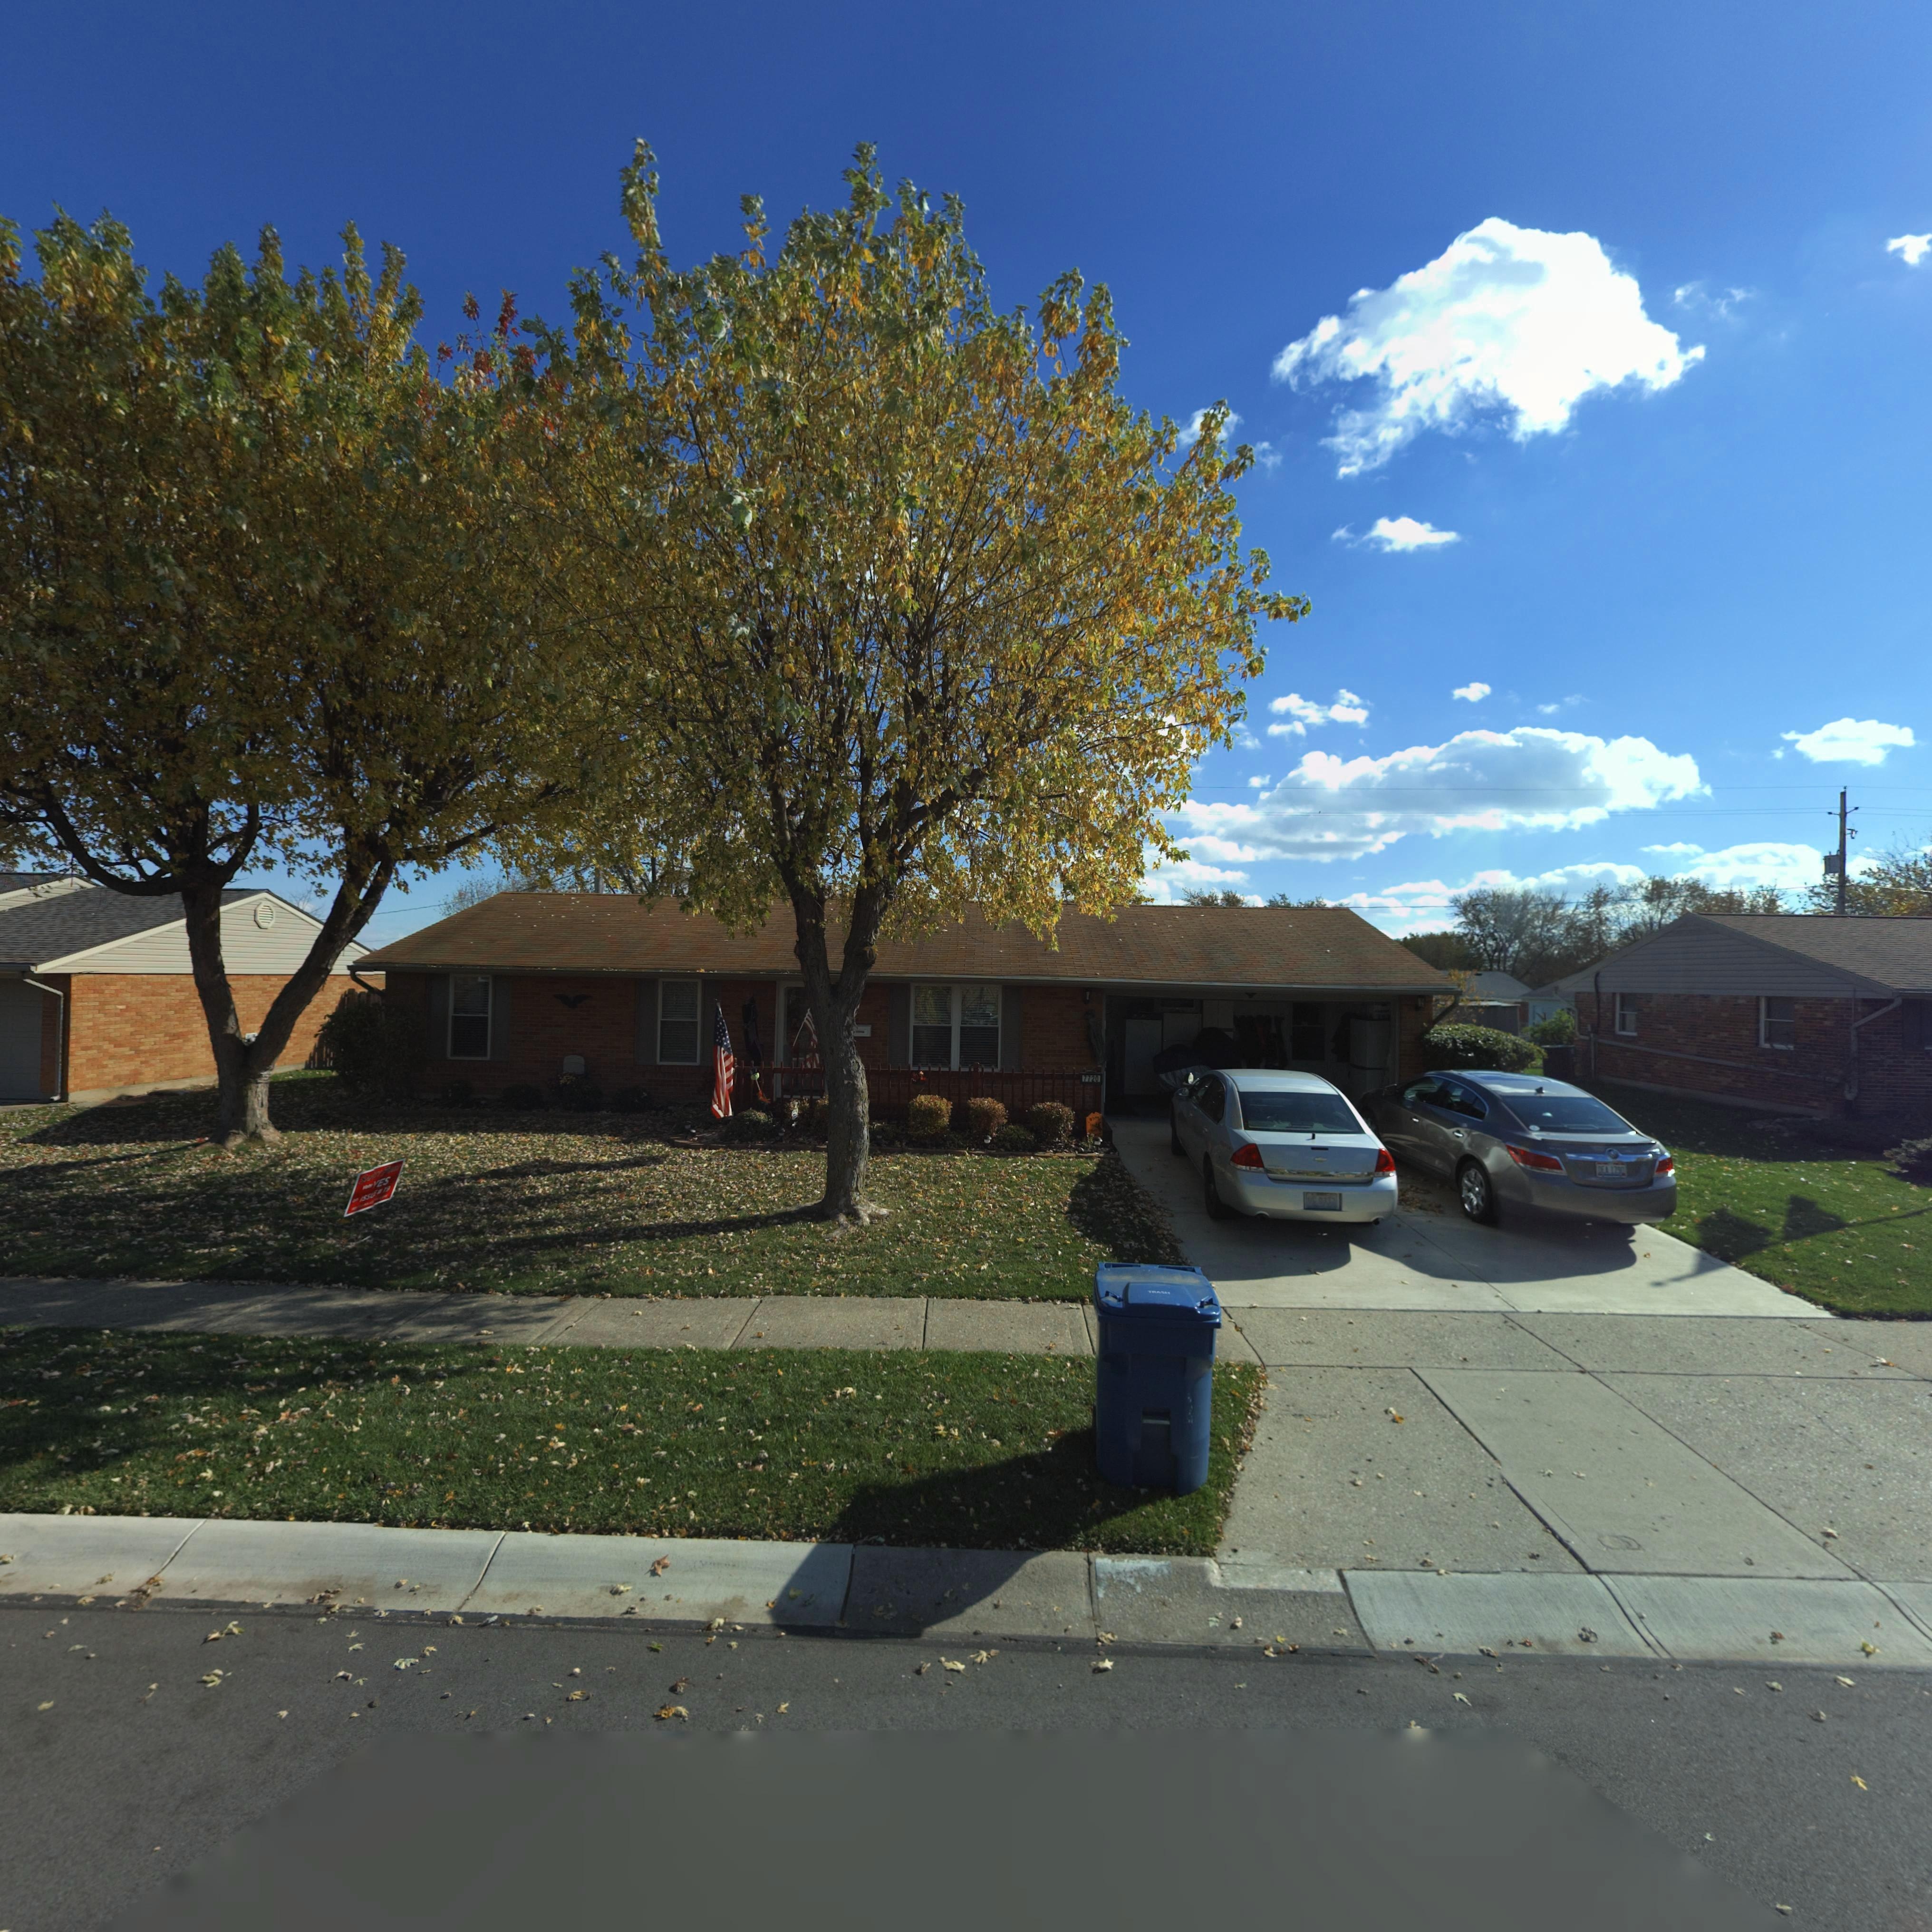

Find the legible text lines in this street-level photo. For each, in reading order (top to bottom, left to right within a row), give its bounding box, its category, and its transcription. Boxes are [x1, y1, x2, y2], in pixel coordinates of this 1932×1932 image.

[1082, 1074, 1100, 1083] StreetNumber: 7720